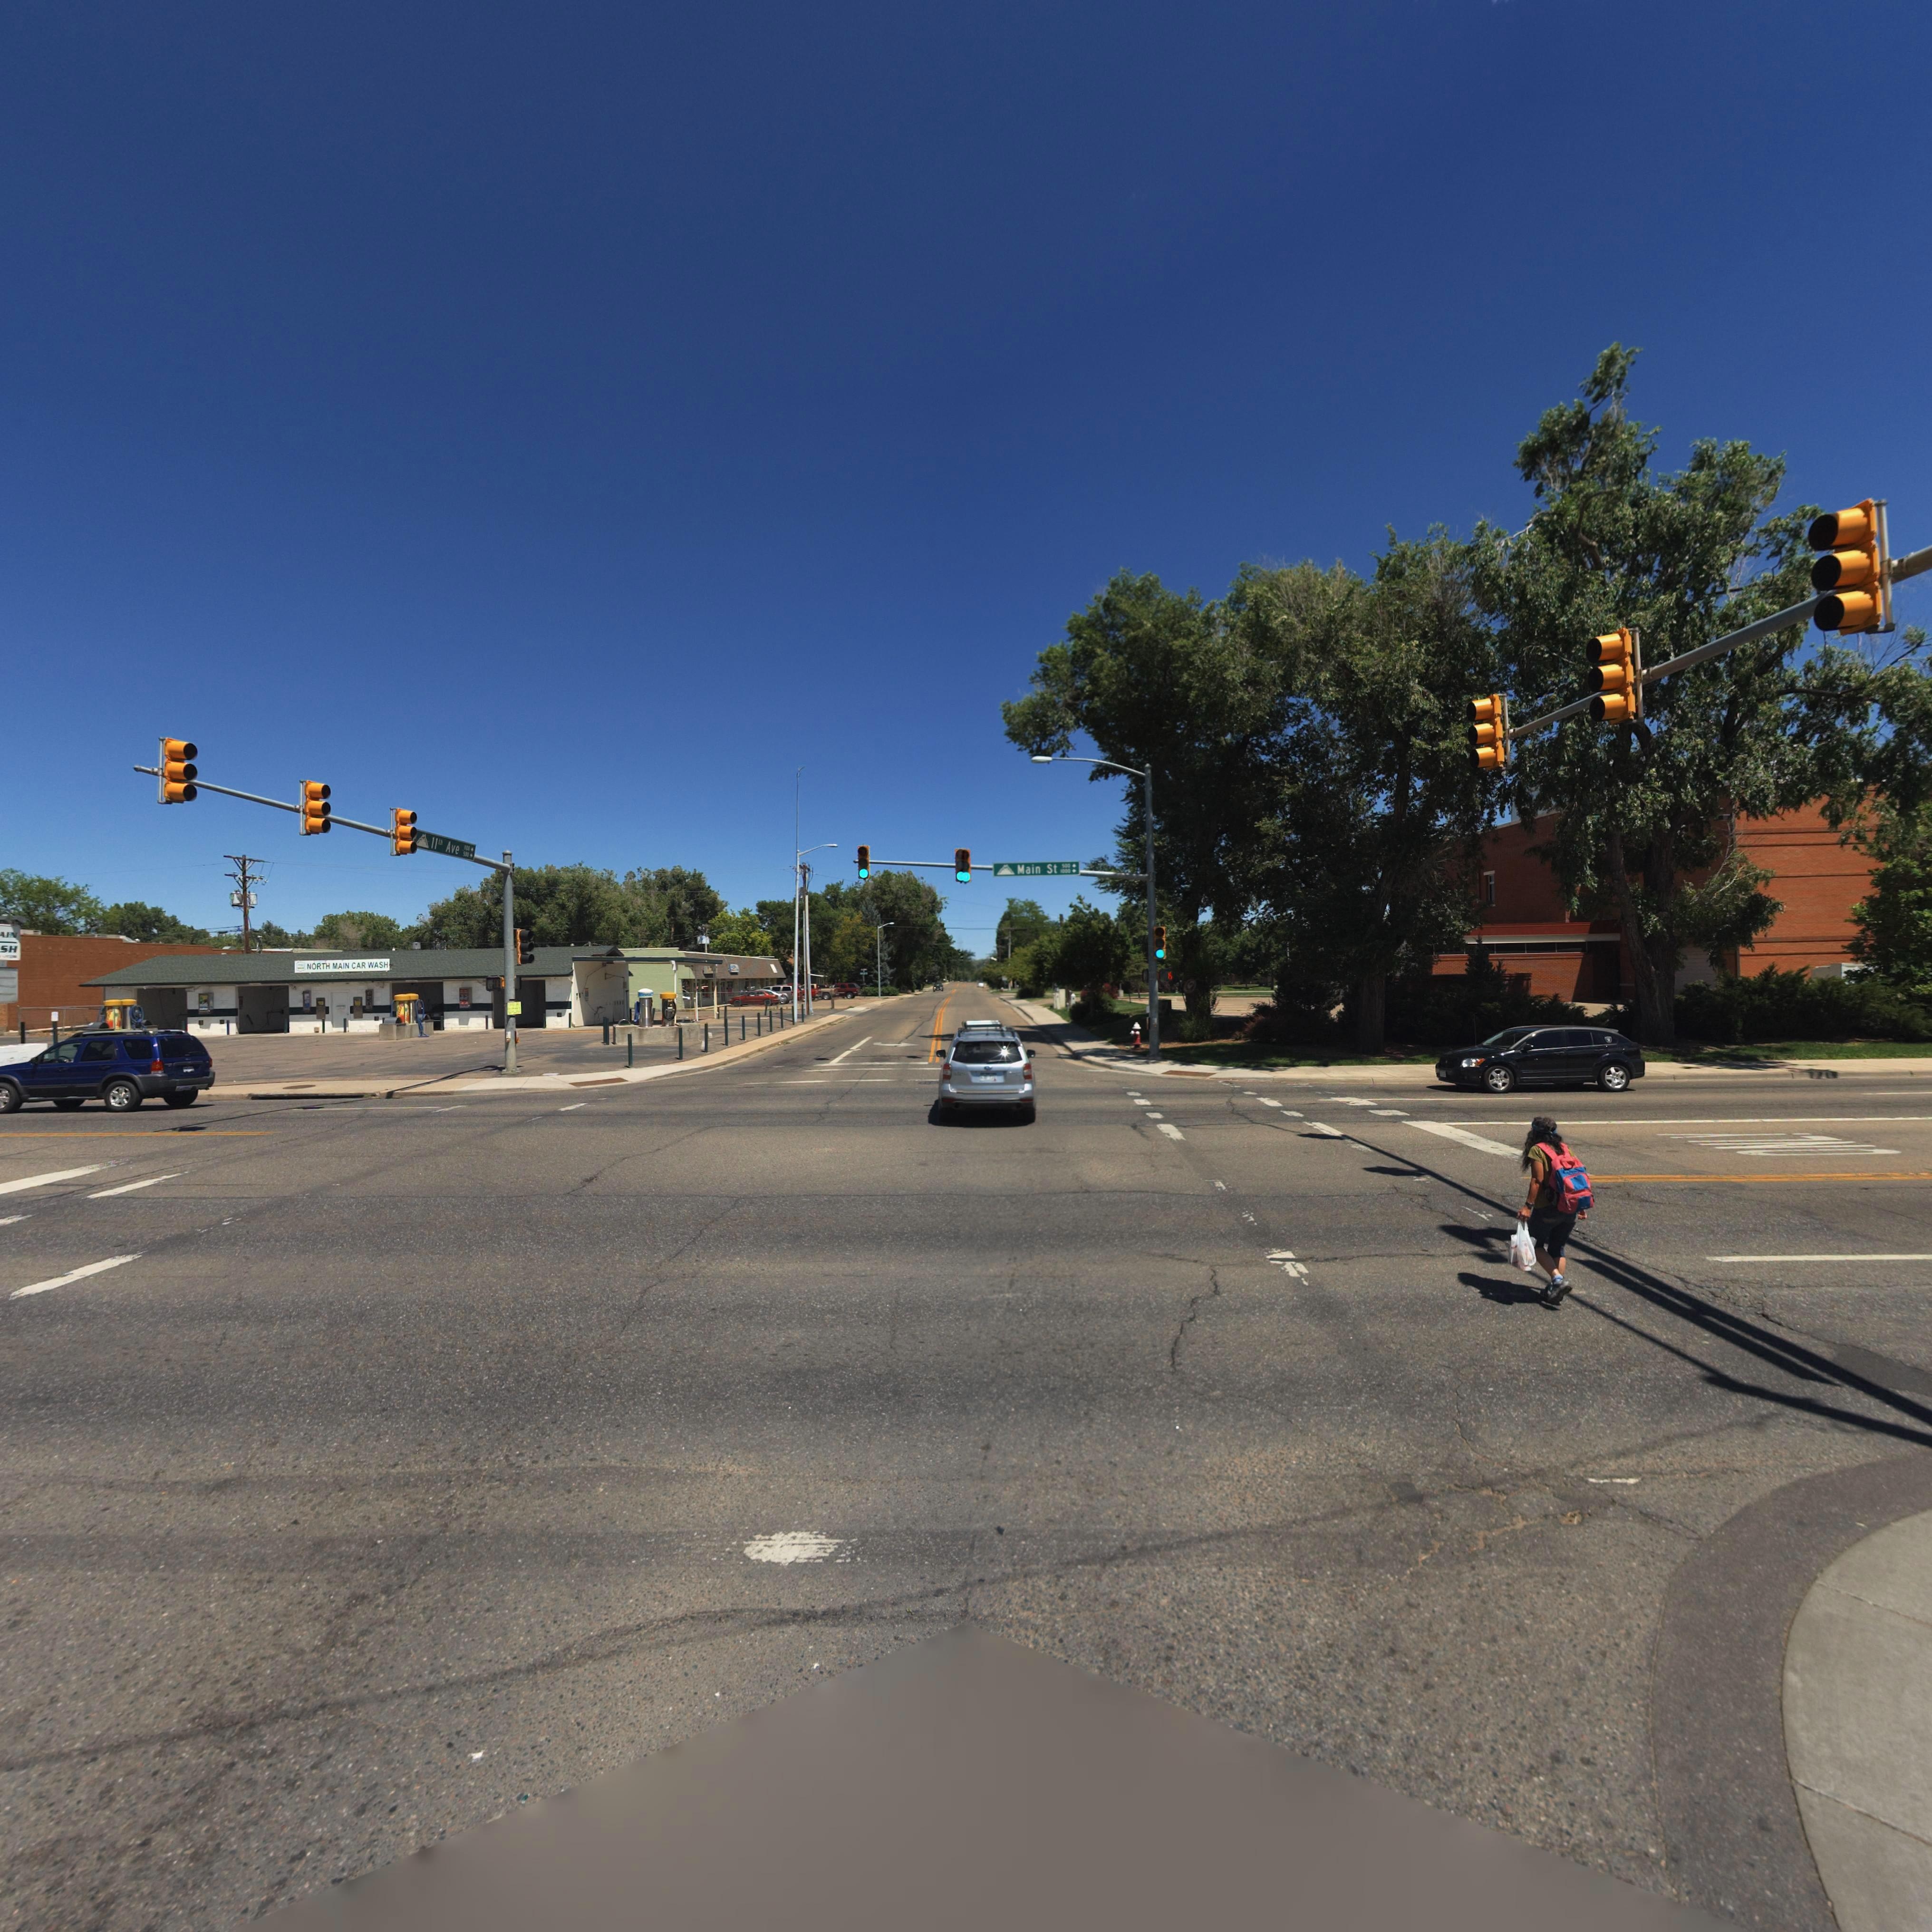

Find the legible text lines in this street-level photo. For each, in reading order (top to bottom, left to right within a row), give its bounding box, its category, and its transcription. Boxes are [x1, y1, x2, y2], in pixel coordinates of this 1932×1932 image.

[430, 836, 460, 855] StreetName: 11th Ave
[462, 850, 473, 858] StreetNumberRange: 500->
[1017, 863, 1058, 874] StreetName: Main St
[1062, 863, 1071, 868] StreetNumberRange: 500
[6, 931, 18, 938] BusinessName: IN
[0, 945, 18, 953] BusinessName: SH
[306, 961, 388, 970] BusinessName: NORTH MAIN CAR WASH